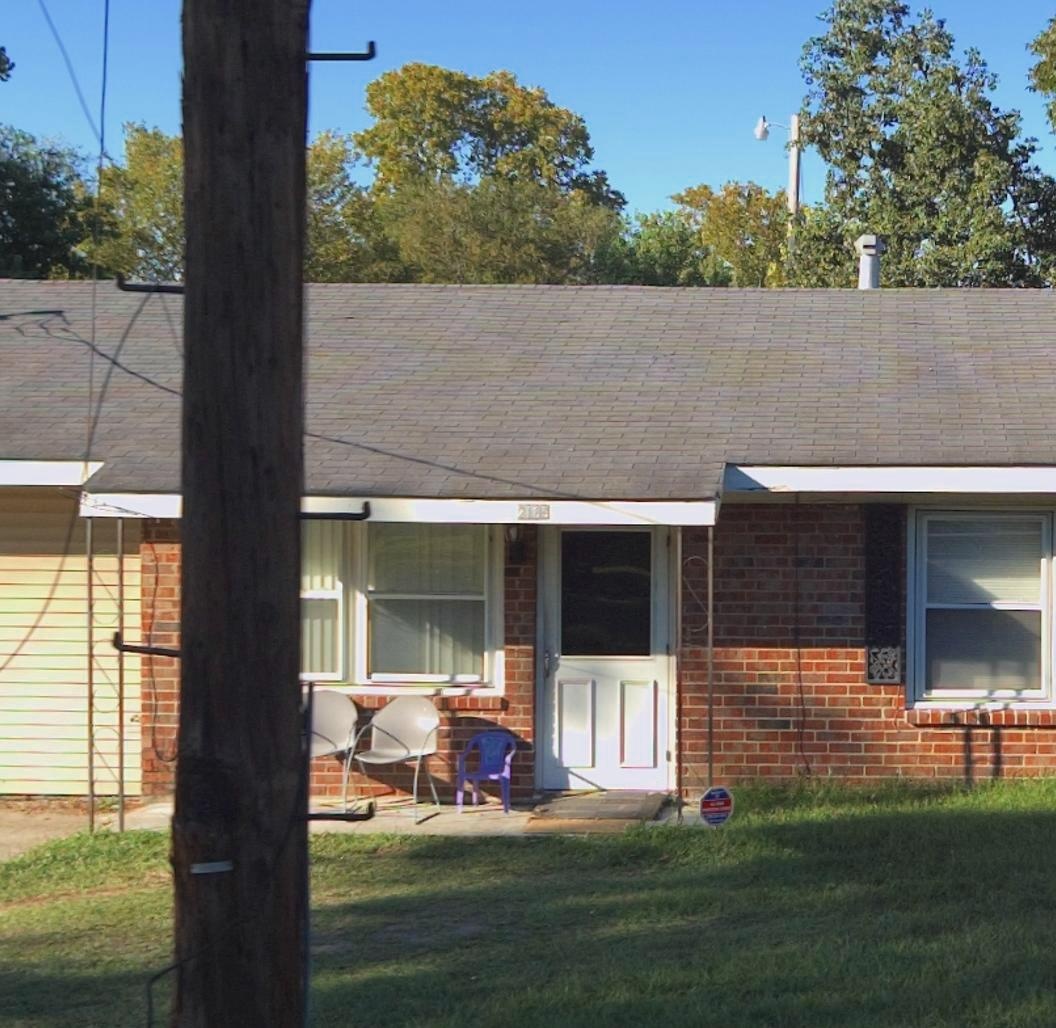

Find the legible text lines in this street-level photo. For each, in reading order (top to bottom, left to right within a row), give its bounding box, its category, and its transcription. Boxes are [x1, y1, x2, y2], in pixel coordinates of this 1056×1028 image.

[517, 504, 549, 520] StreetNumber: 2165